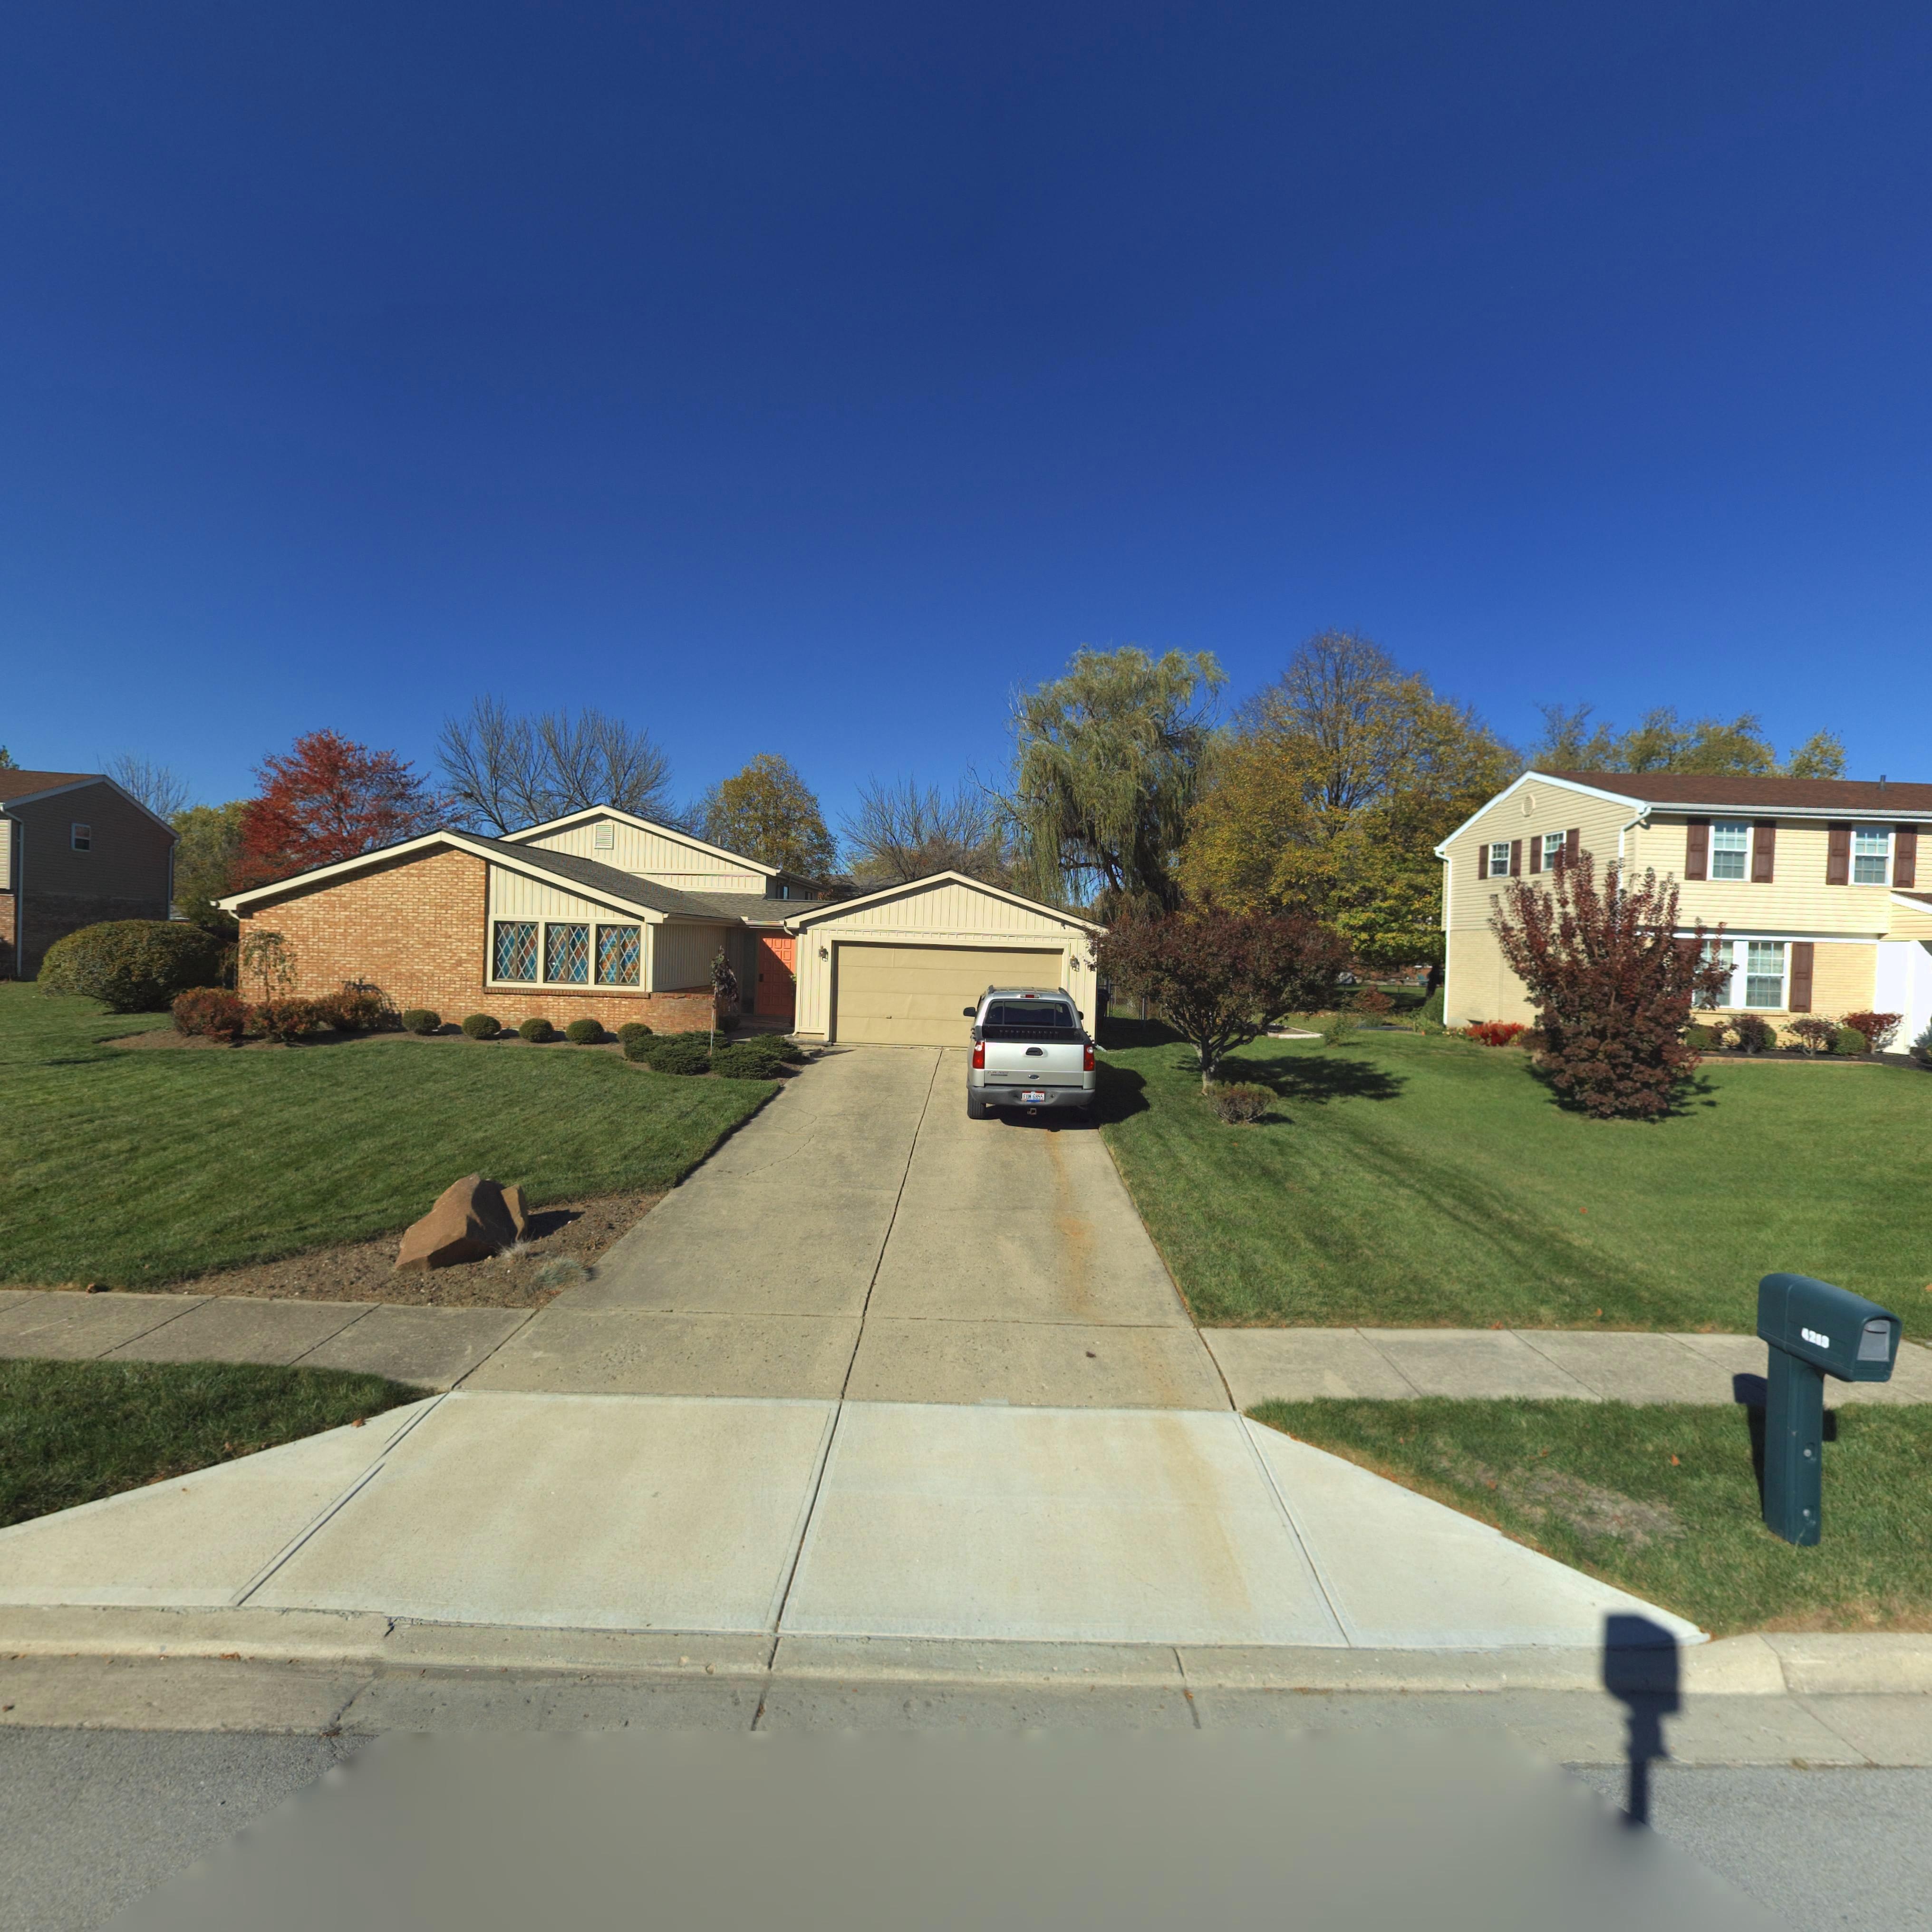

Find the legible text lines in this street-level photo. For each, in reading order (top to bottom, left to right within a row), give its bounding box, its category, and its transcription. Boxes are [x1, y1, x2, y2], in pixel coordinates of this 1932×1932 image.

[1023, 1093, 1044, 1100] None: E*M*6855
[1798, 1324, 1831, 1351] StreetNumber: 421*